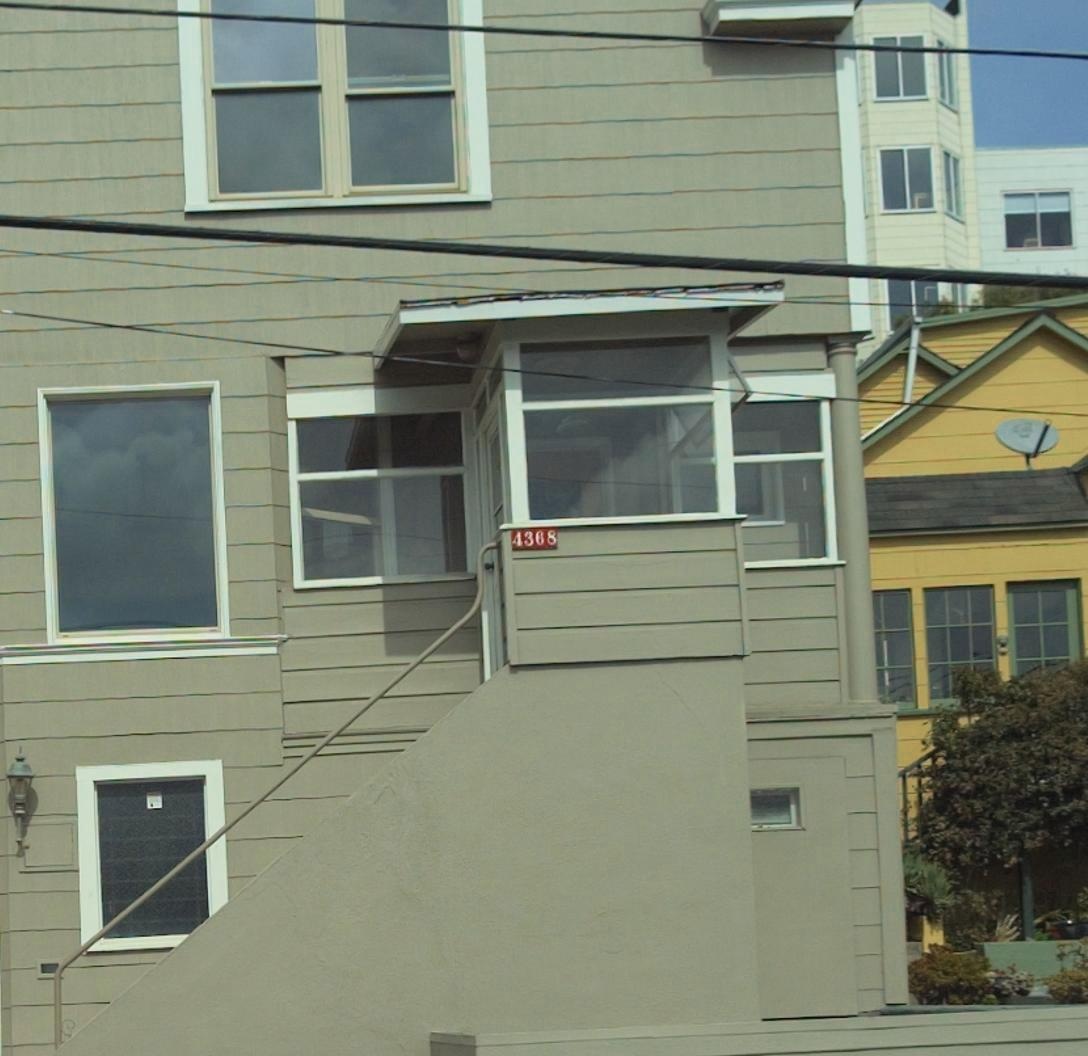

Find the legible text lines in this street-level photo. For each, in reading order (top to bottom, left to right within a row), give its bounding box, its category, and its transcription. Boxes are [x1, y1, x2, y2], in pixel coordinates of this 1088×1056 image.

[509, 528, 559, 550] StreetNumber: 4368